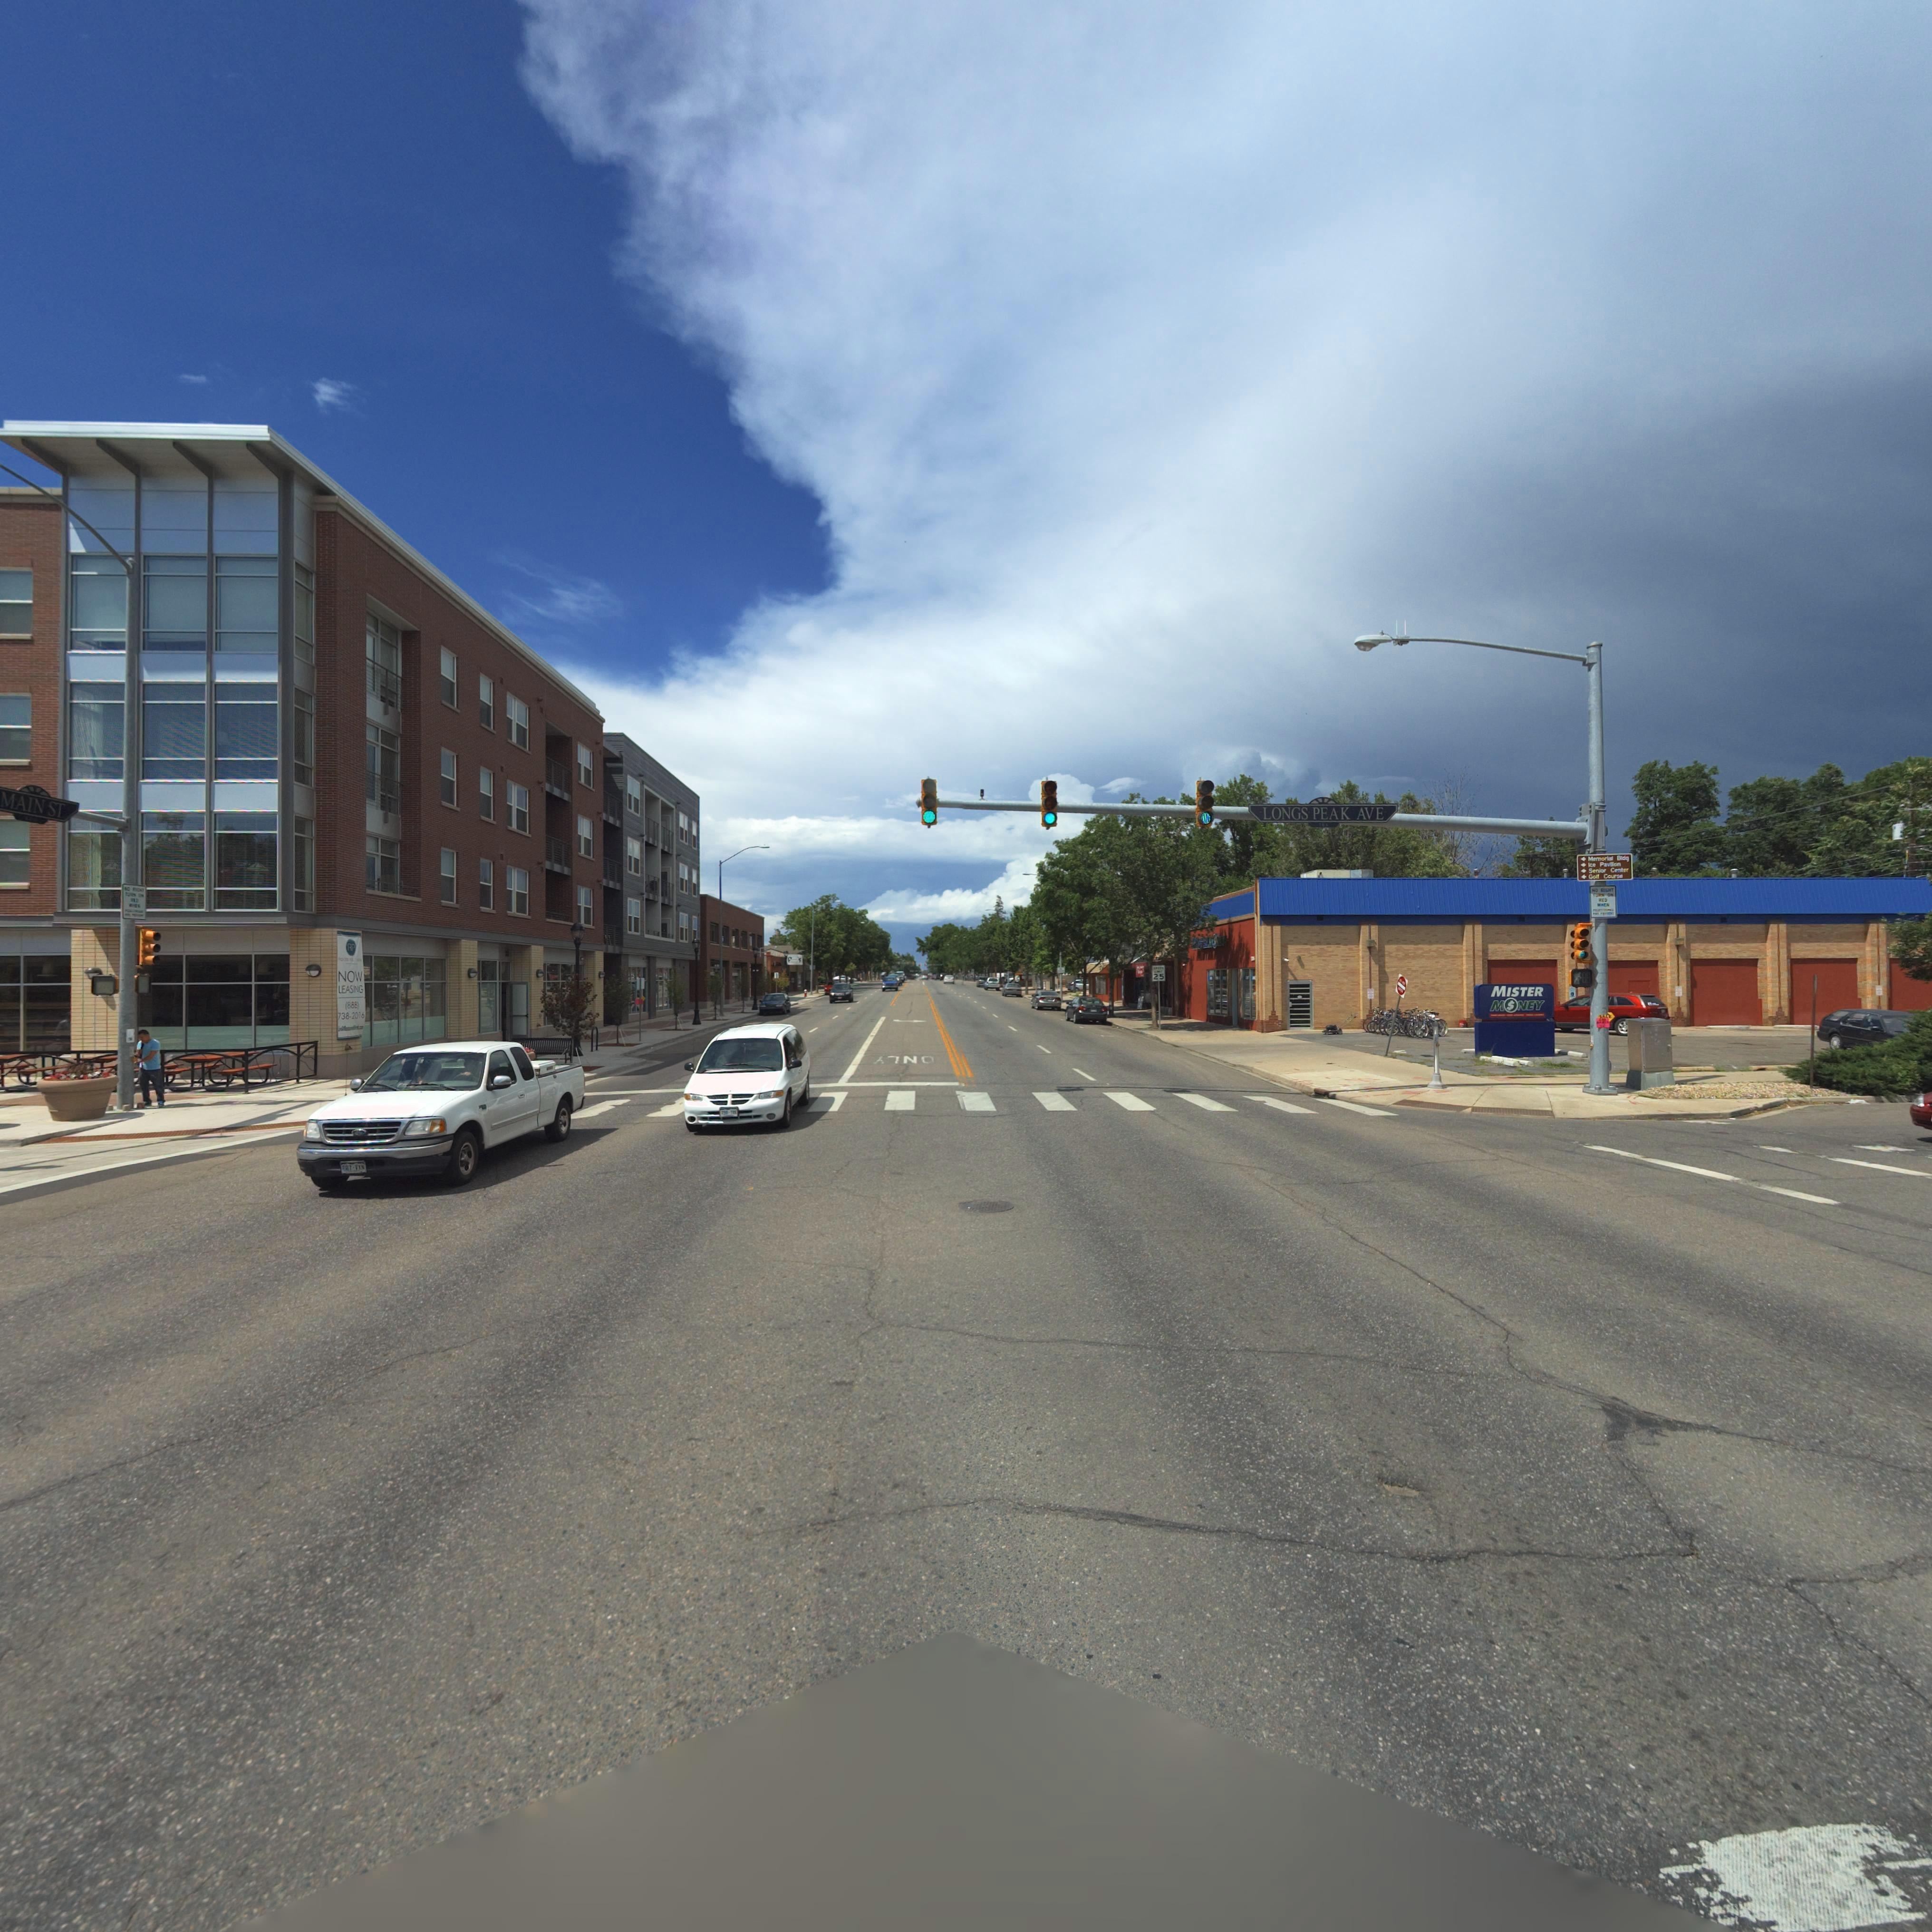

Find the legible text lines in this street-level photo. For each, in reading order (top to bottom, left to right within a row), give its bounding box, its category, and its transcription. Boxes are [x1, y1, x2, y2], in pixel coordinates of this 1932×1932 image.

[0, 792, 66, 818] StreetName: MAIN ST
[1263, 807, 1384, 820] StreetName: LONGS PEAK AVE
[1319, 823, 1328, 827] StreetNumberRange: *00
[1490, 985, 1543, 997] BusinessName: MISTER
[1489, 997, 1545, 1013] BusinessName: M*NEY